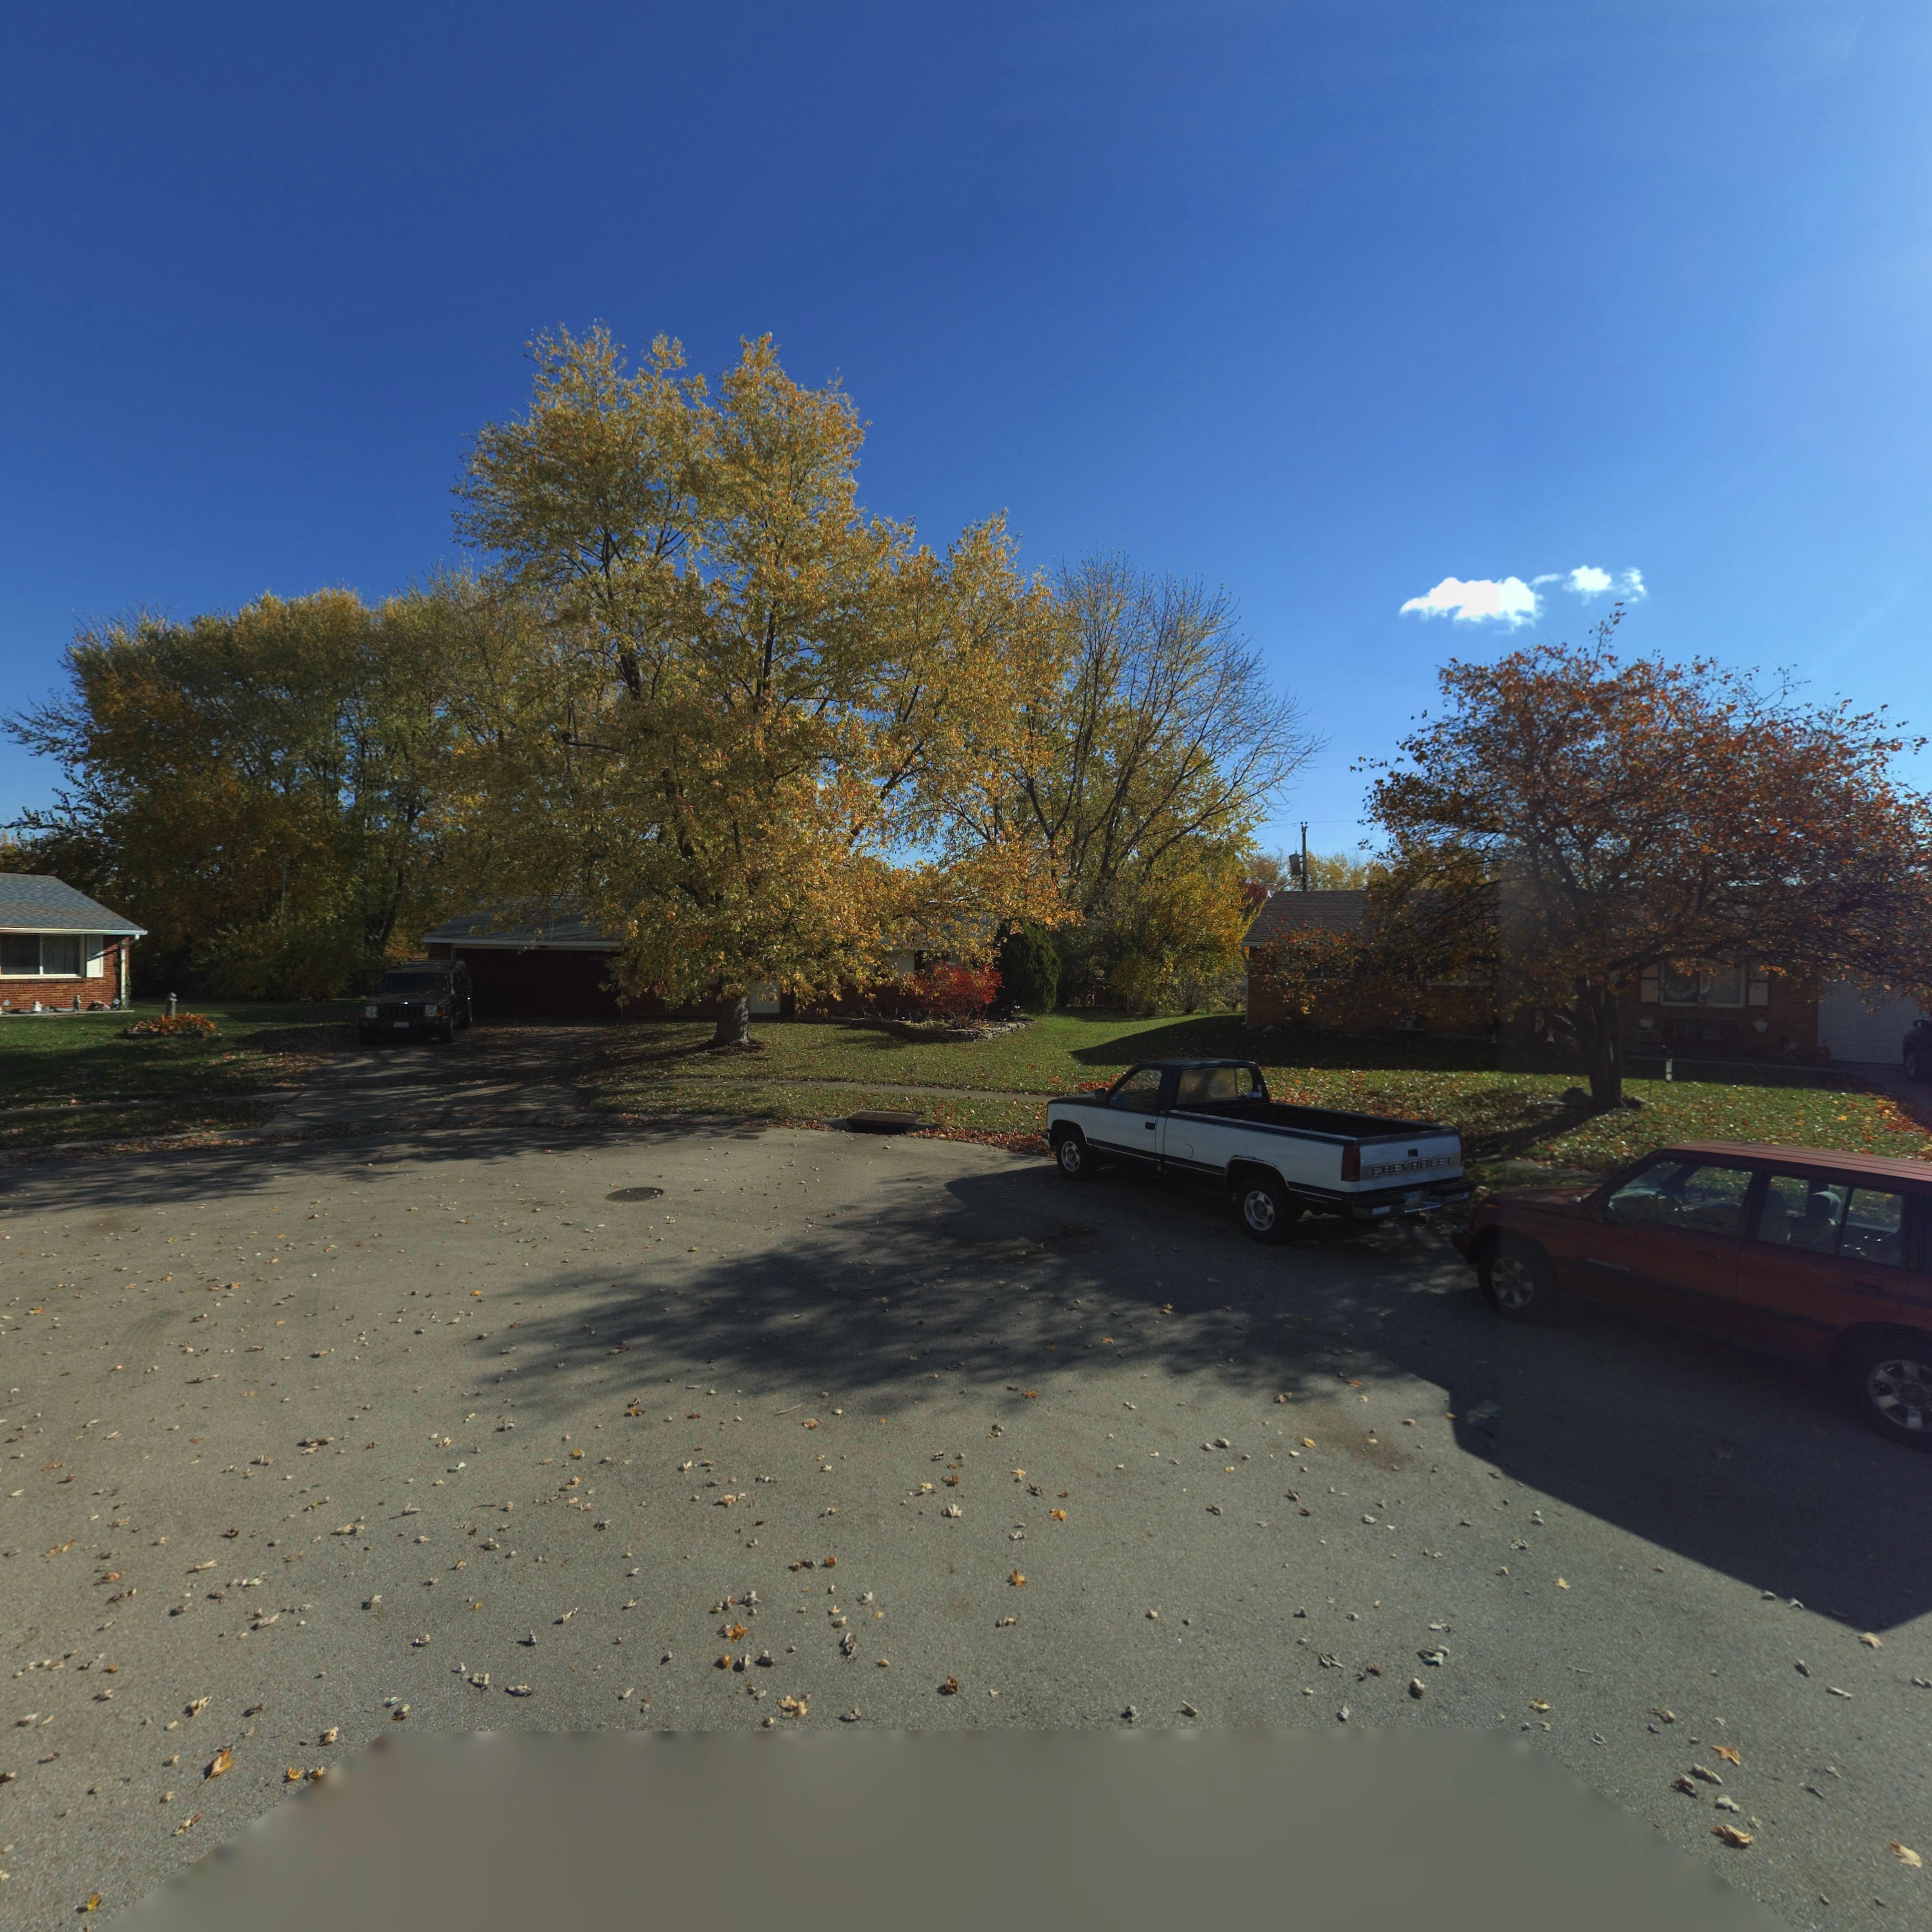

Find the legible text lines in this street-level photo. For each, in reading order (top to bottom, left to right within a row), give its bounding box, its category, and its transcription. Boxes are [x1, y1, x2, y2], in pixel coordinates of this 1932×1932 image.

[587, 954, 612, 962] StreetNumber: 784*